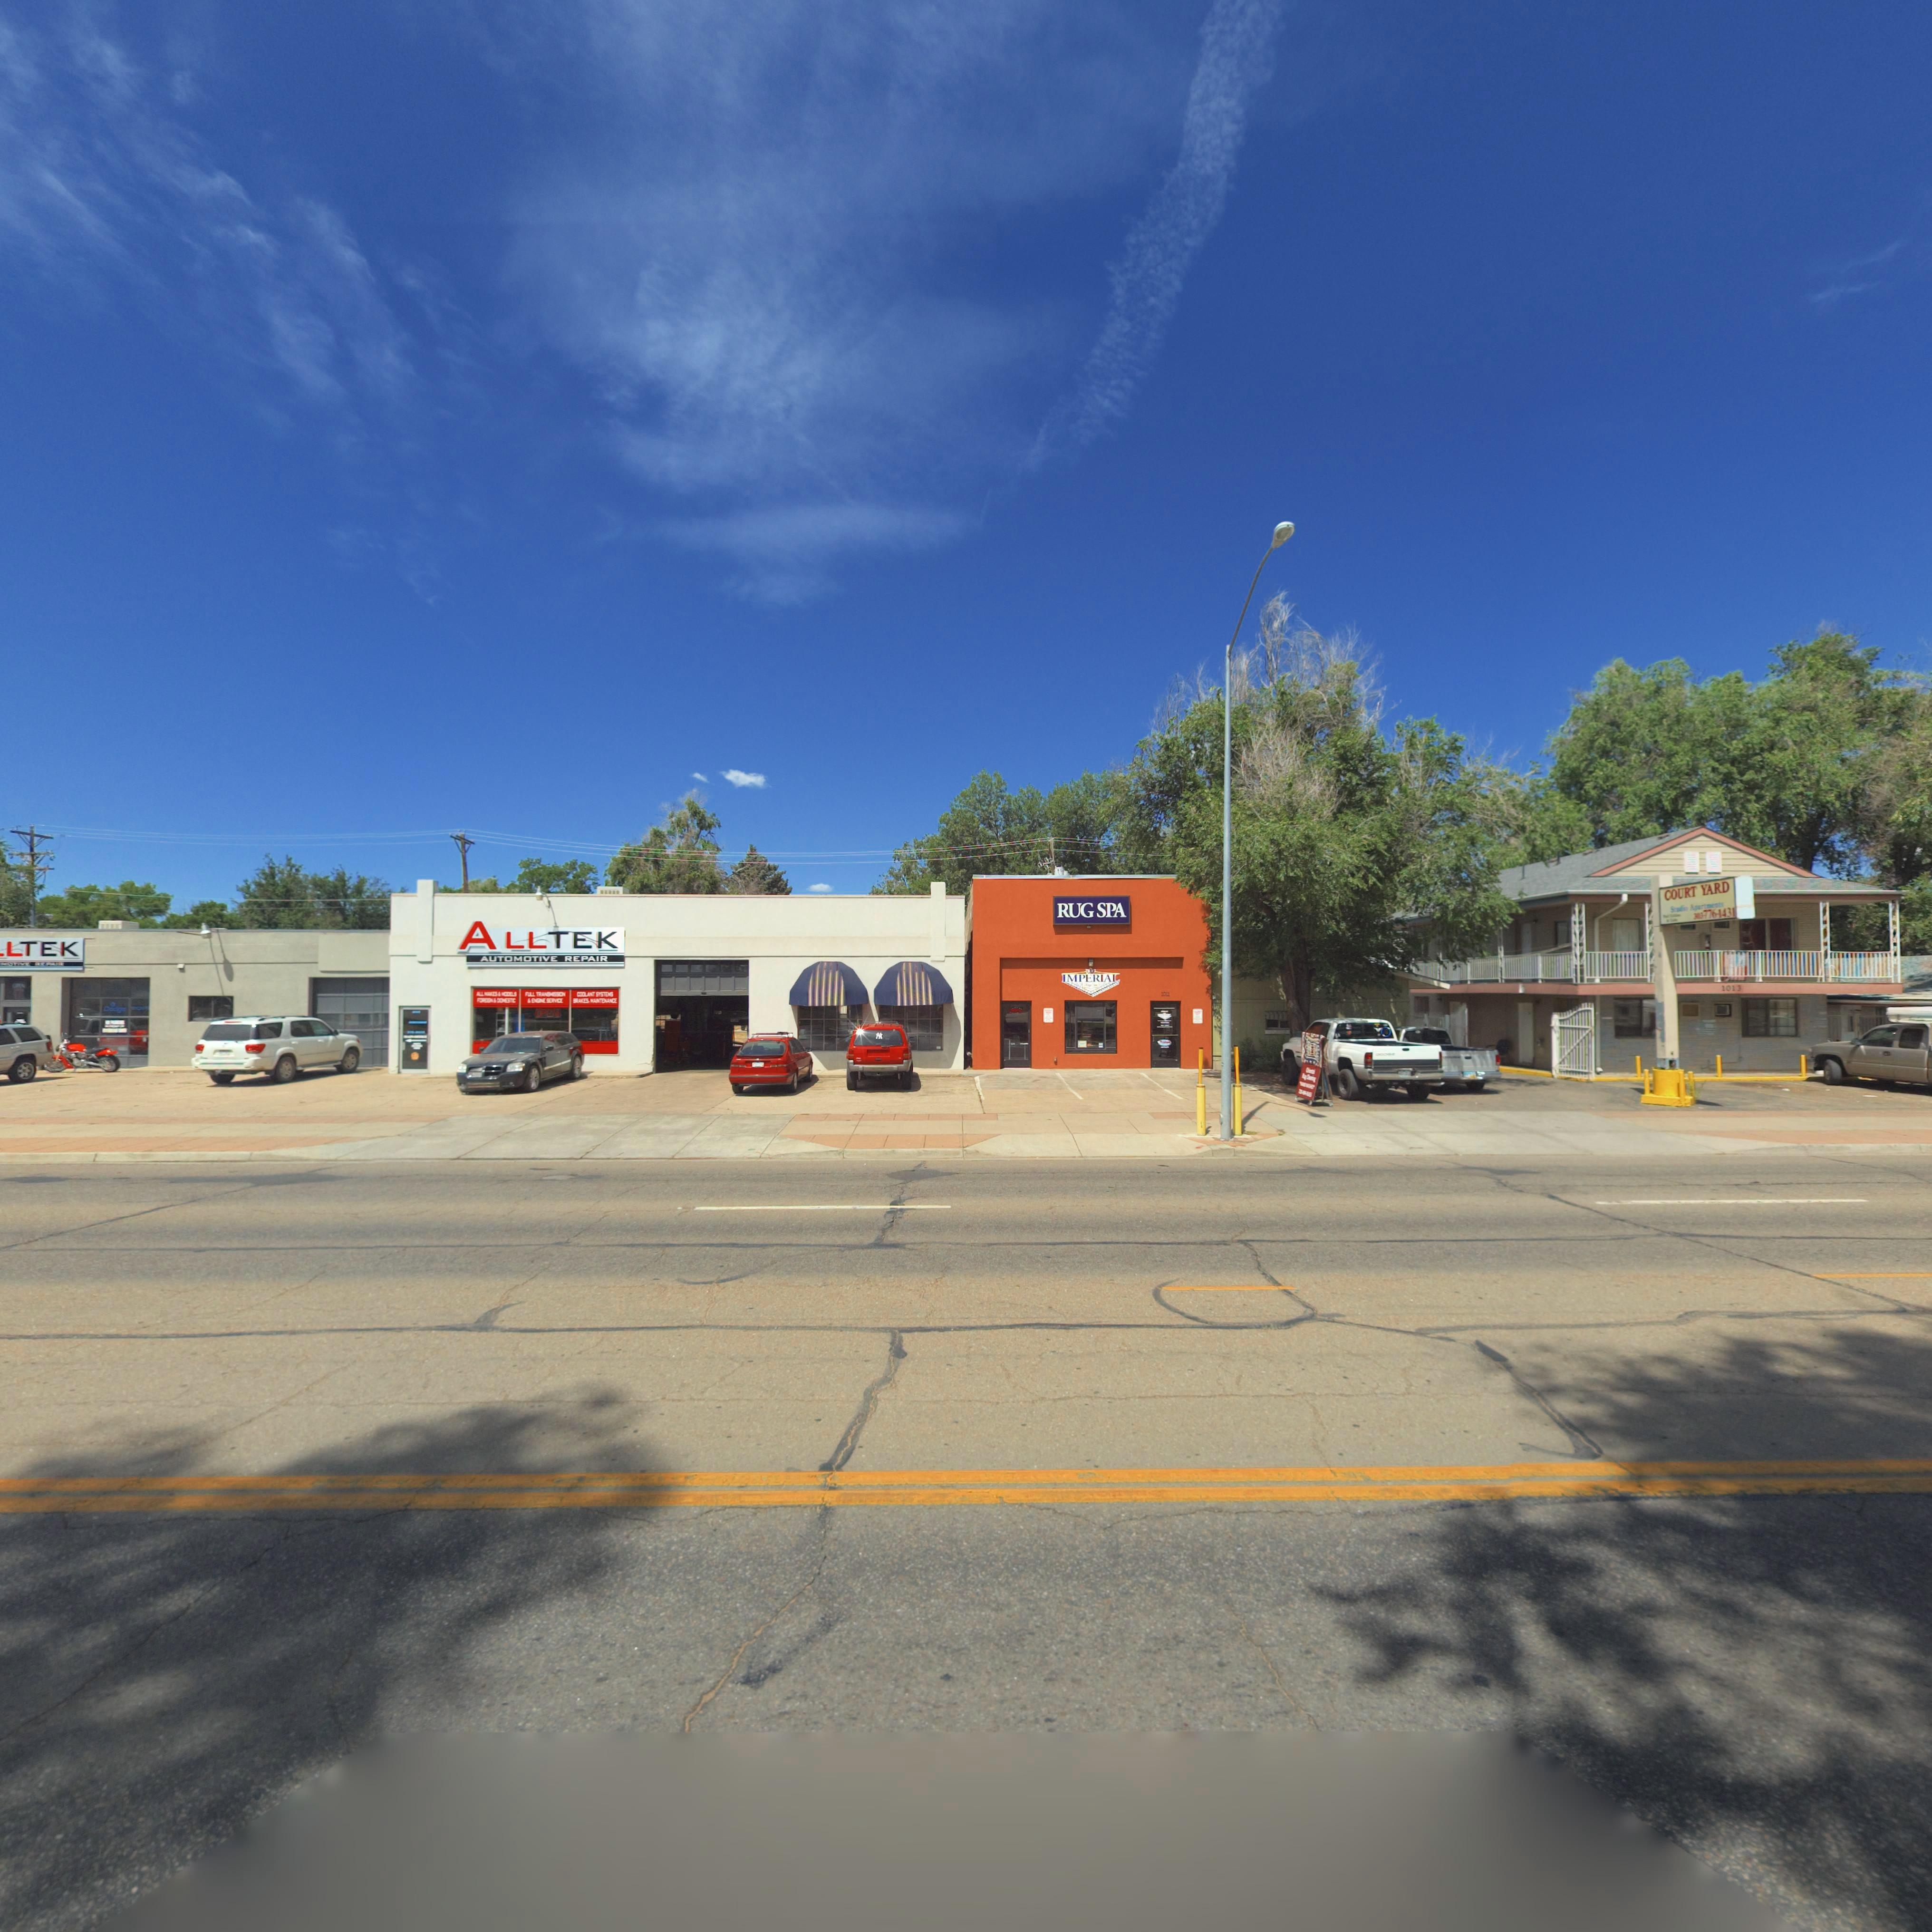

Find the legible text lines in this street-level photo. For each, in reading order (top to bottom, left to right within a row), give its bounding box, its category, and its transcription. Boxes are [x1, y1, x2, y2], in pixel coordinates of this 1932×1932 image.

[1664, 881, 1729, 901] BusinessName: COURT YARD
[1056, 902, 1127, 918] BusinessName: RUG SPA
[1670, 901, 1724, 913] BusinessName: S**** Ap**t***ts
[455, 920, 618, 950] BusinessName: ALLTEK
[6, 940, 79, 957] BusinessName: LTEK
[479, 955, 608, 962] BusinessName: AUTOMOTIVE REPAIR
[1062, 974, 1119, 982] BusinessName: IMPERIAL
[1721, 985, 1741, 991] StreetNumber: 1013
[1160, 992, 1169, 996] StreetNumber: 1011